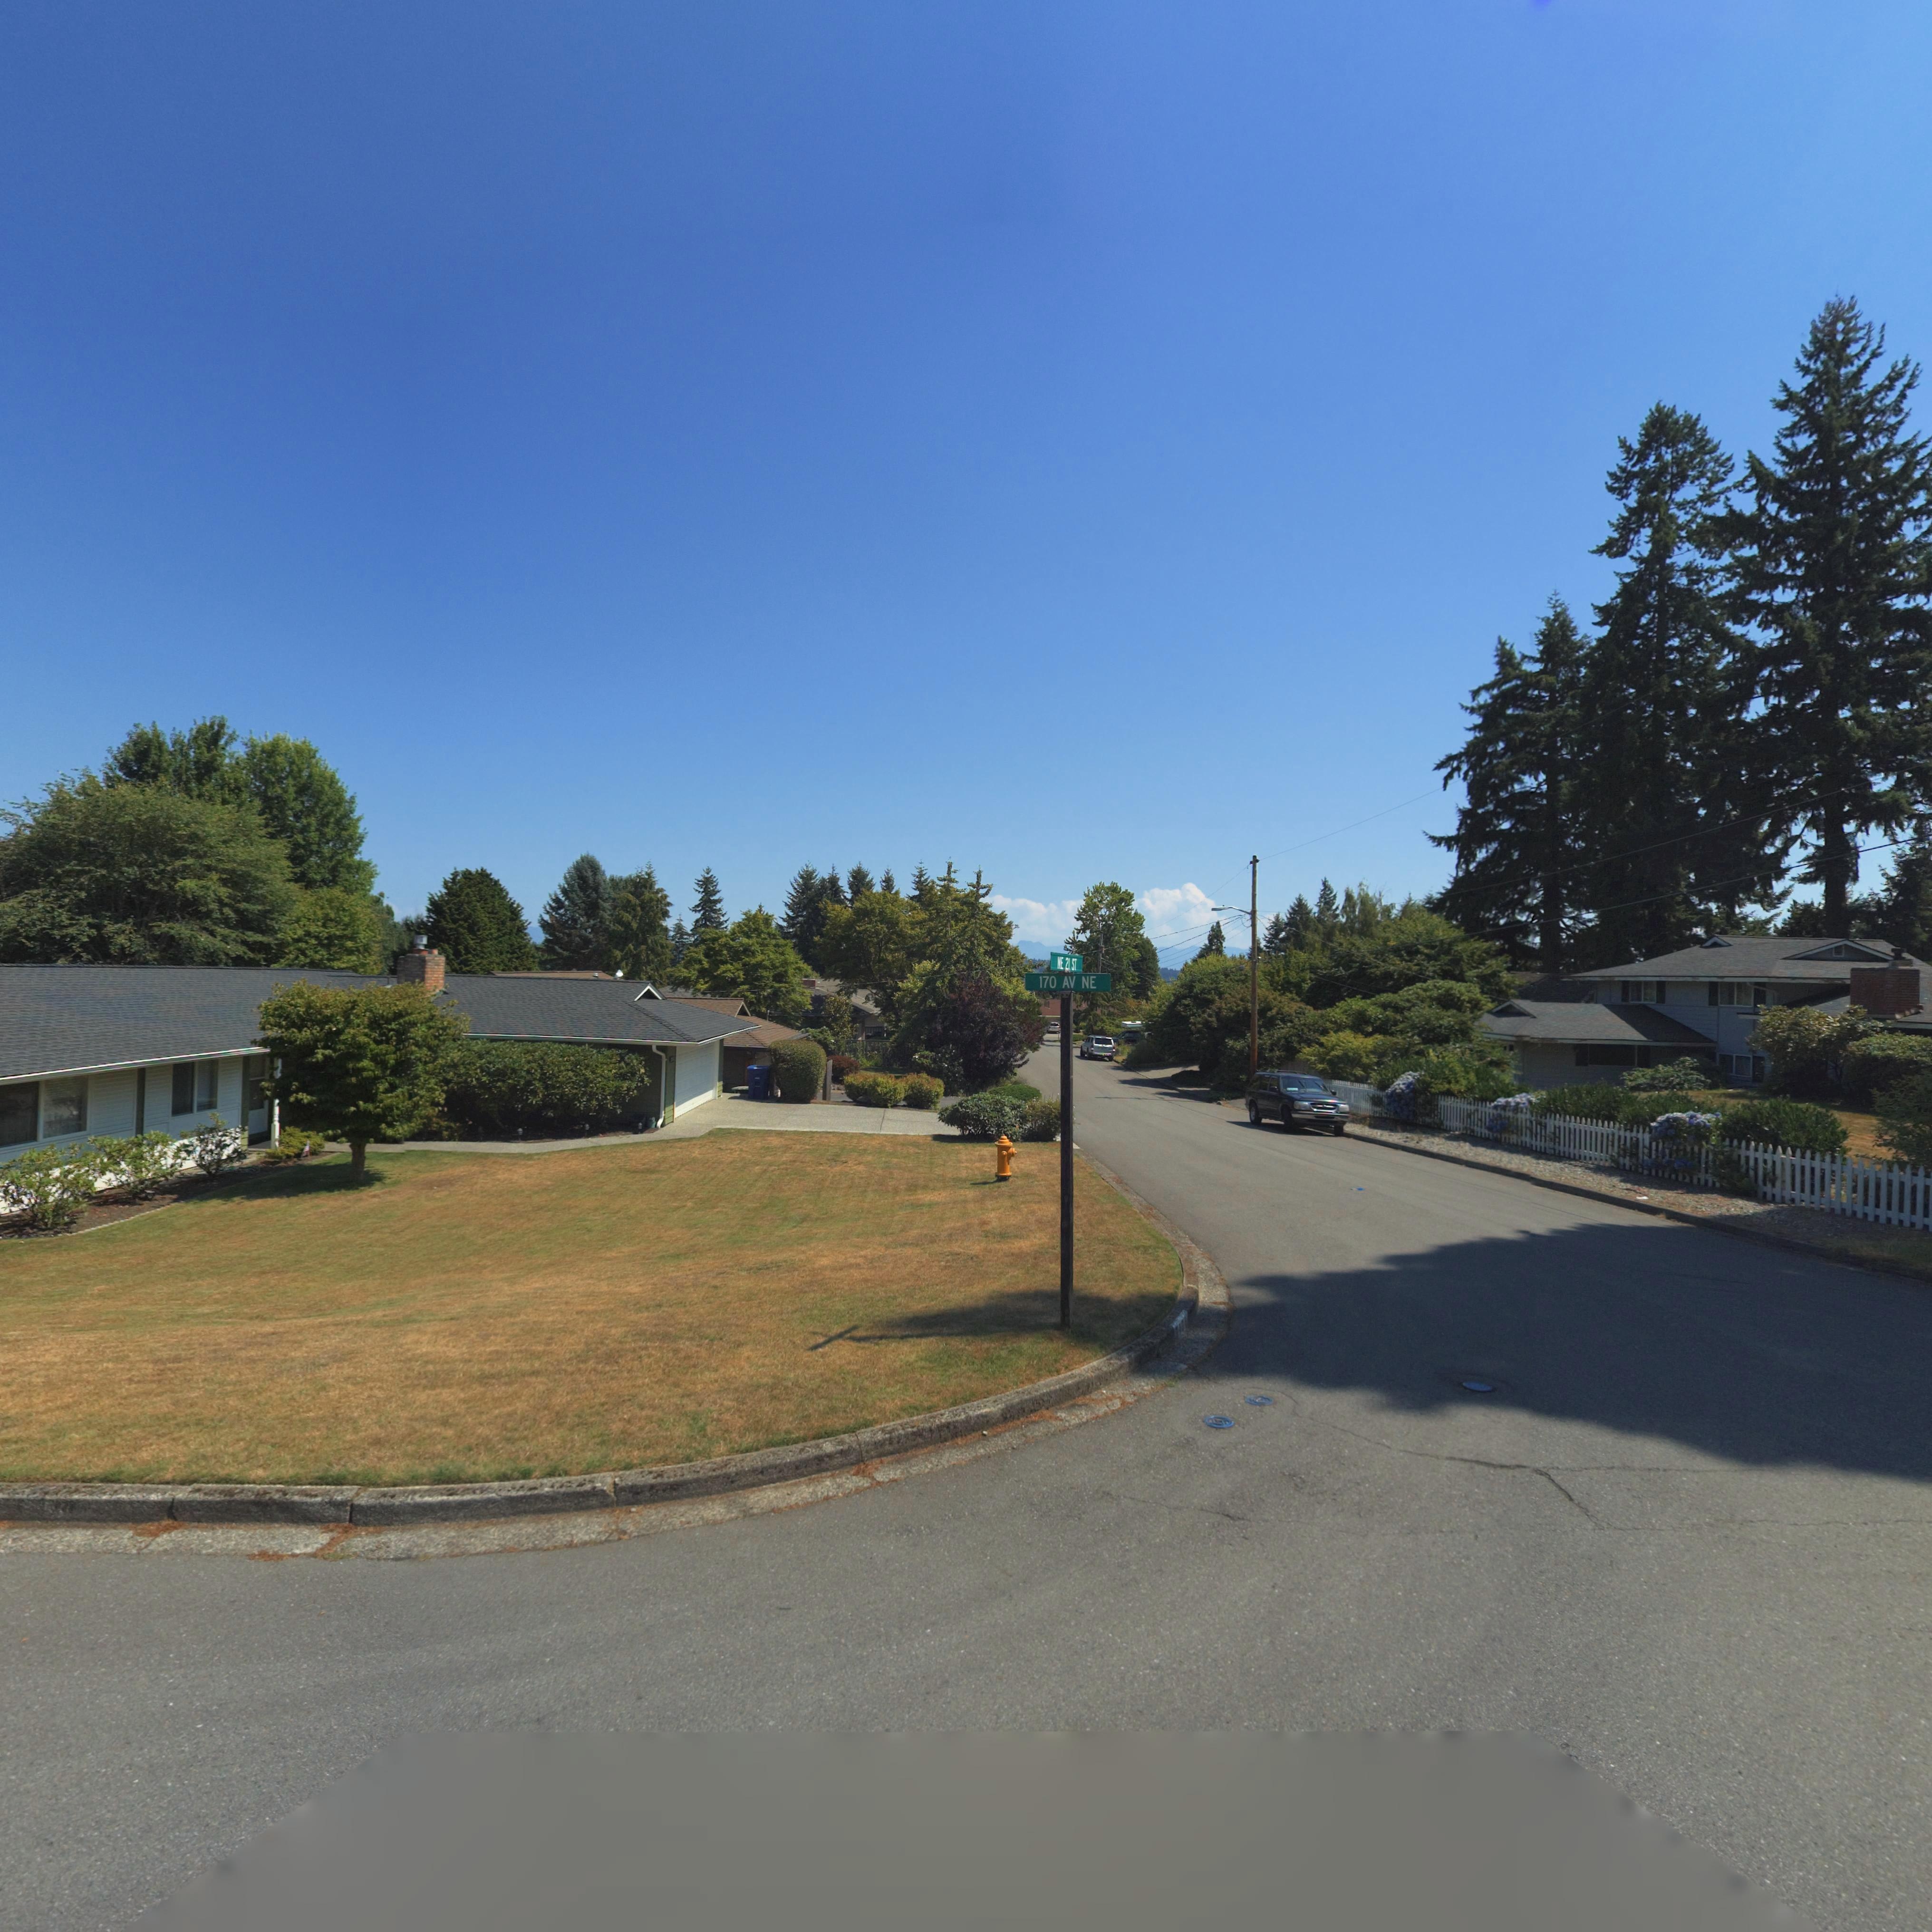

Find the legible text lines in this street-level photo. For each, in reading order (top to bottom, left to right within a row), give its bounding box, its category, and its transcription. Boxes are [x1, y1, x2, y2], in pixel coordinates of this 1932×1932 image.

[1057, 956, 1077, 971] StreetName: NE 21 ST
[1038, 976, 1097, 989] StreetName: 170 AV NE